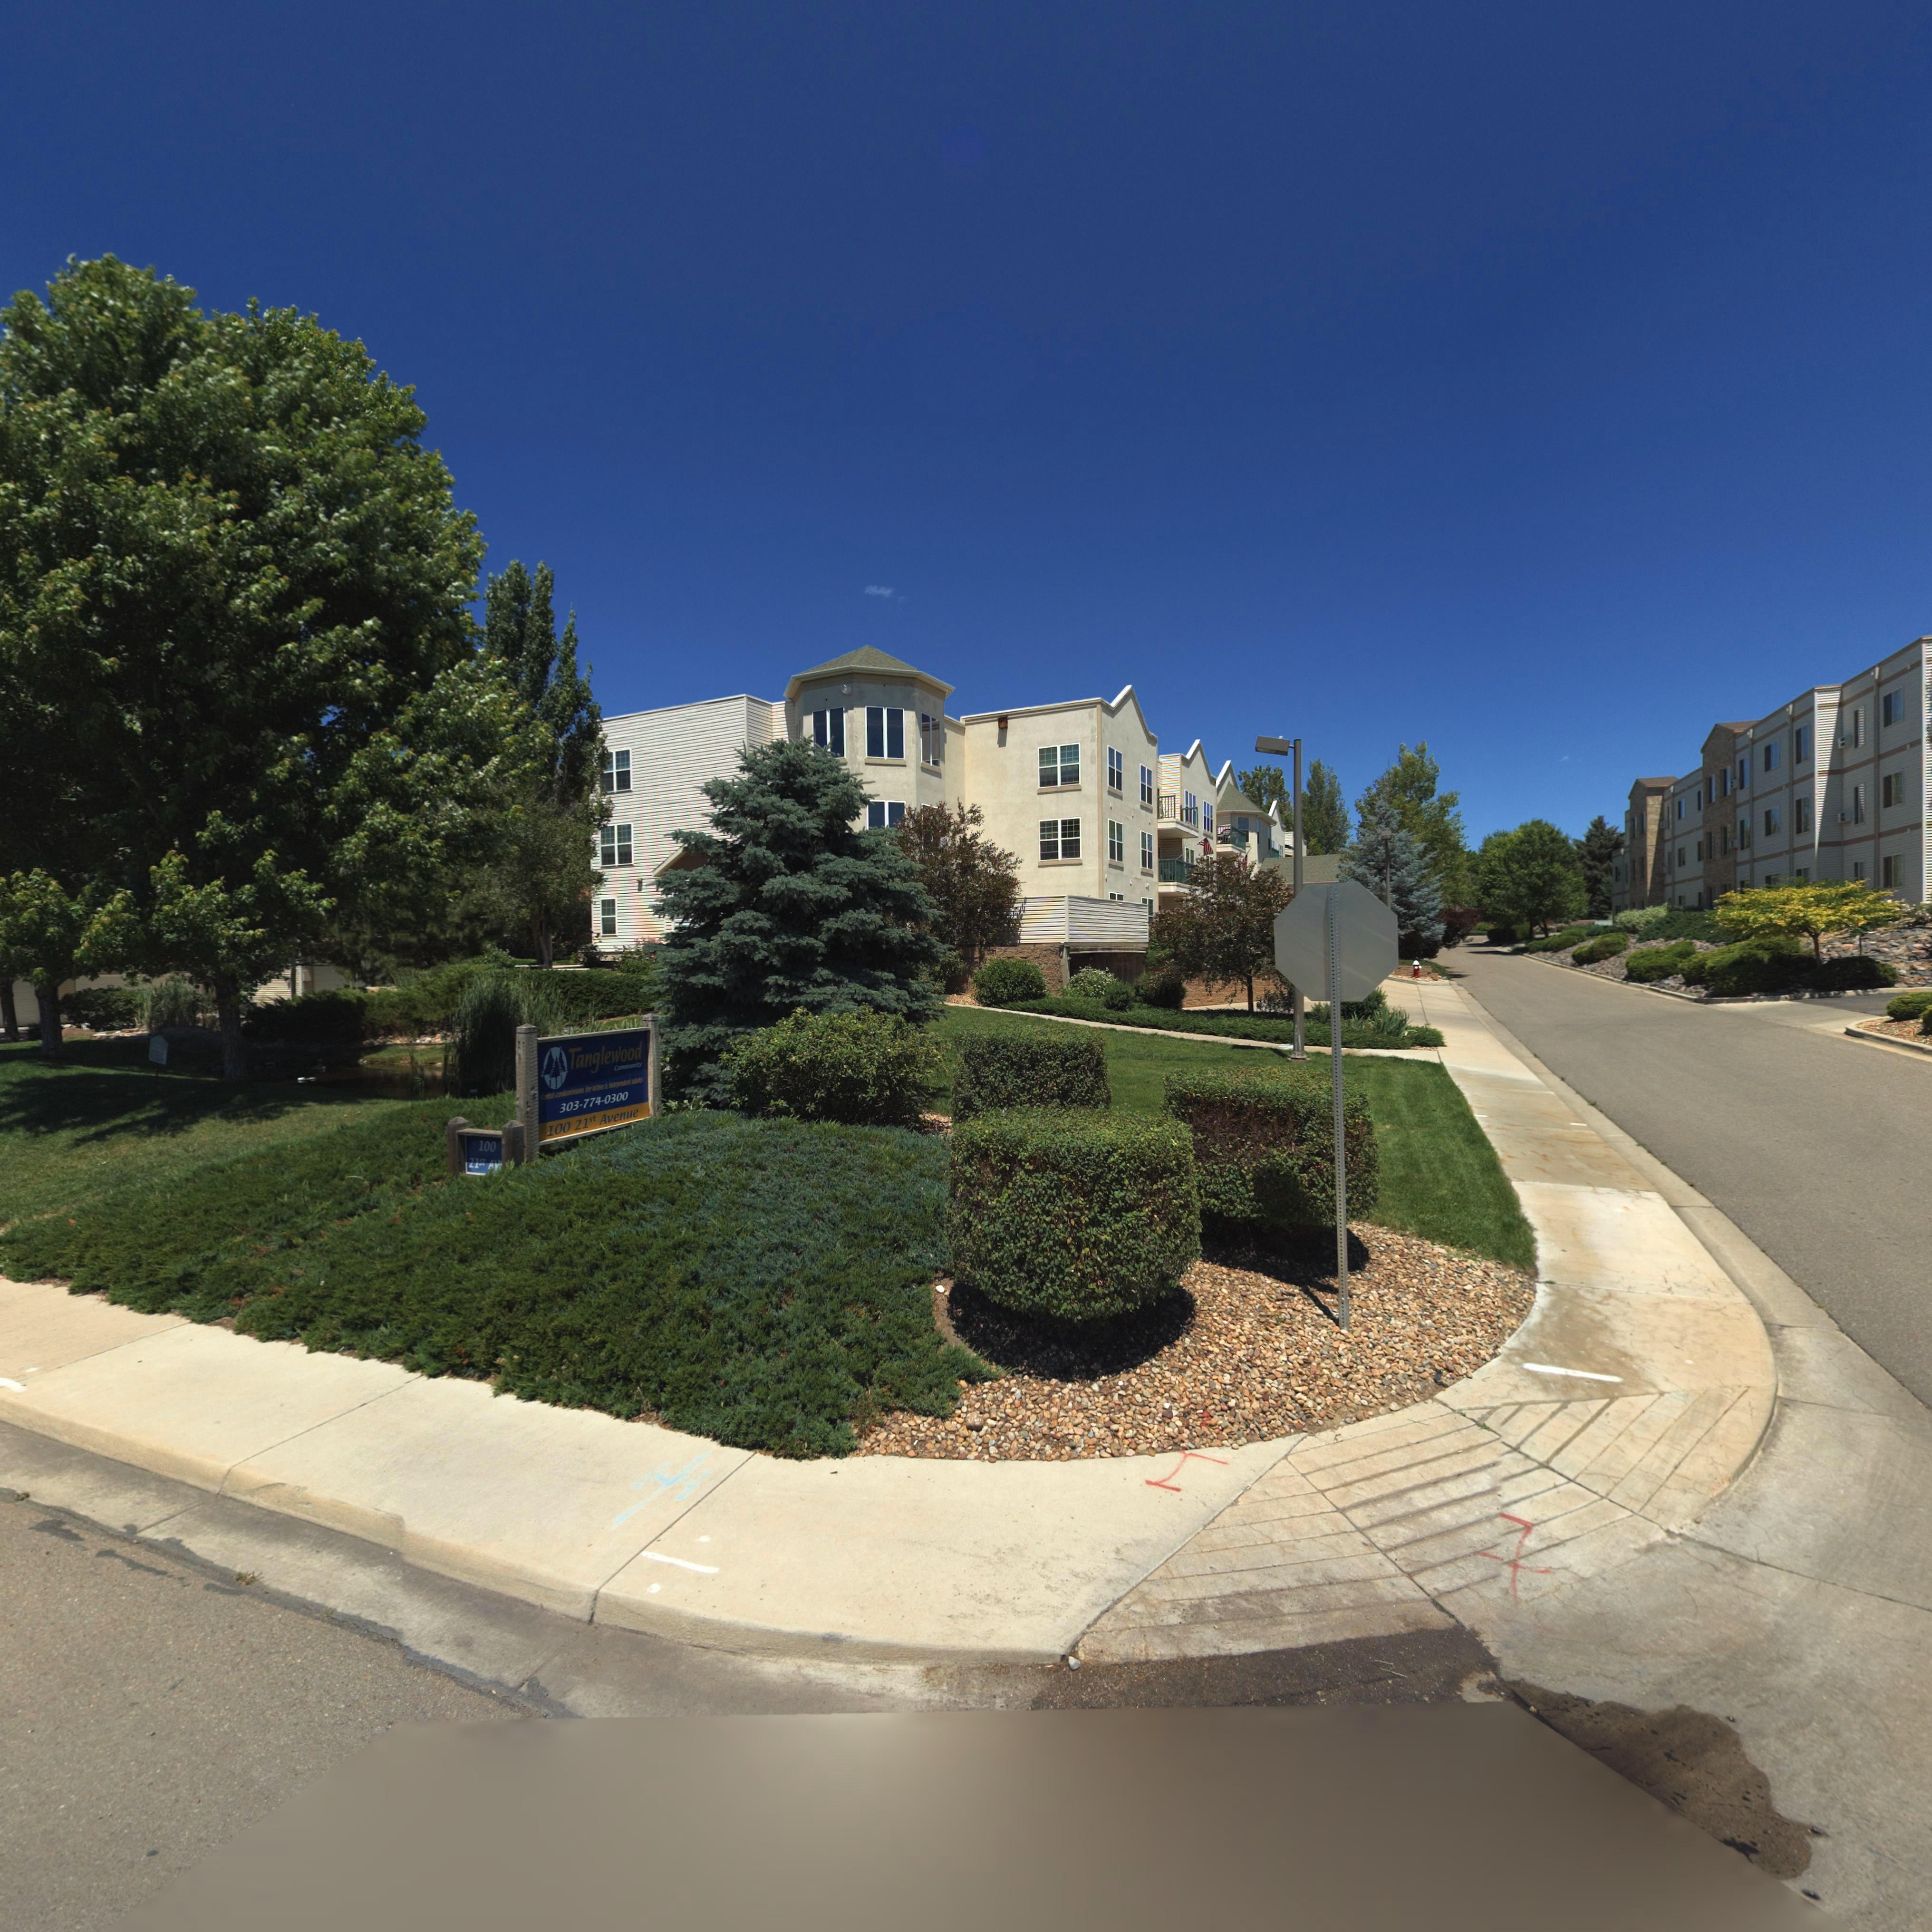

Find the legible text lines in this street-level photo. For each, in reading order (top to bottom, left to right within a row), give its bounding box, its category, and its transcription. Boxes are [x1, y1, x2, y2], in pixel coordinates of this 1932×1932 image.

[574, 1108, 639, 1131] StreetName: 21st Avenue
[547, 1121, 571, 1137] StreetNumber: 100
[478, 1140, 496, 1152] StreetNumber: 100
[468, 1157, 502, 1171] StreetName: 21ST AV